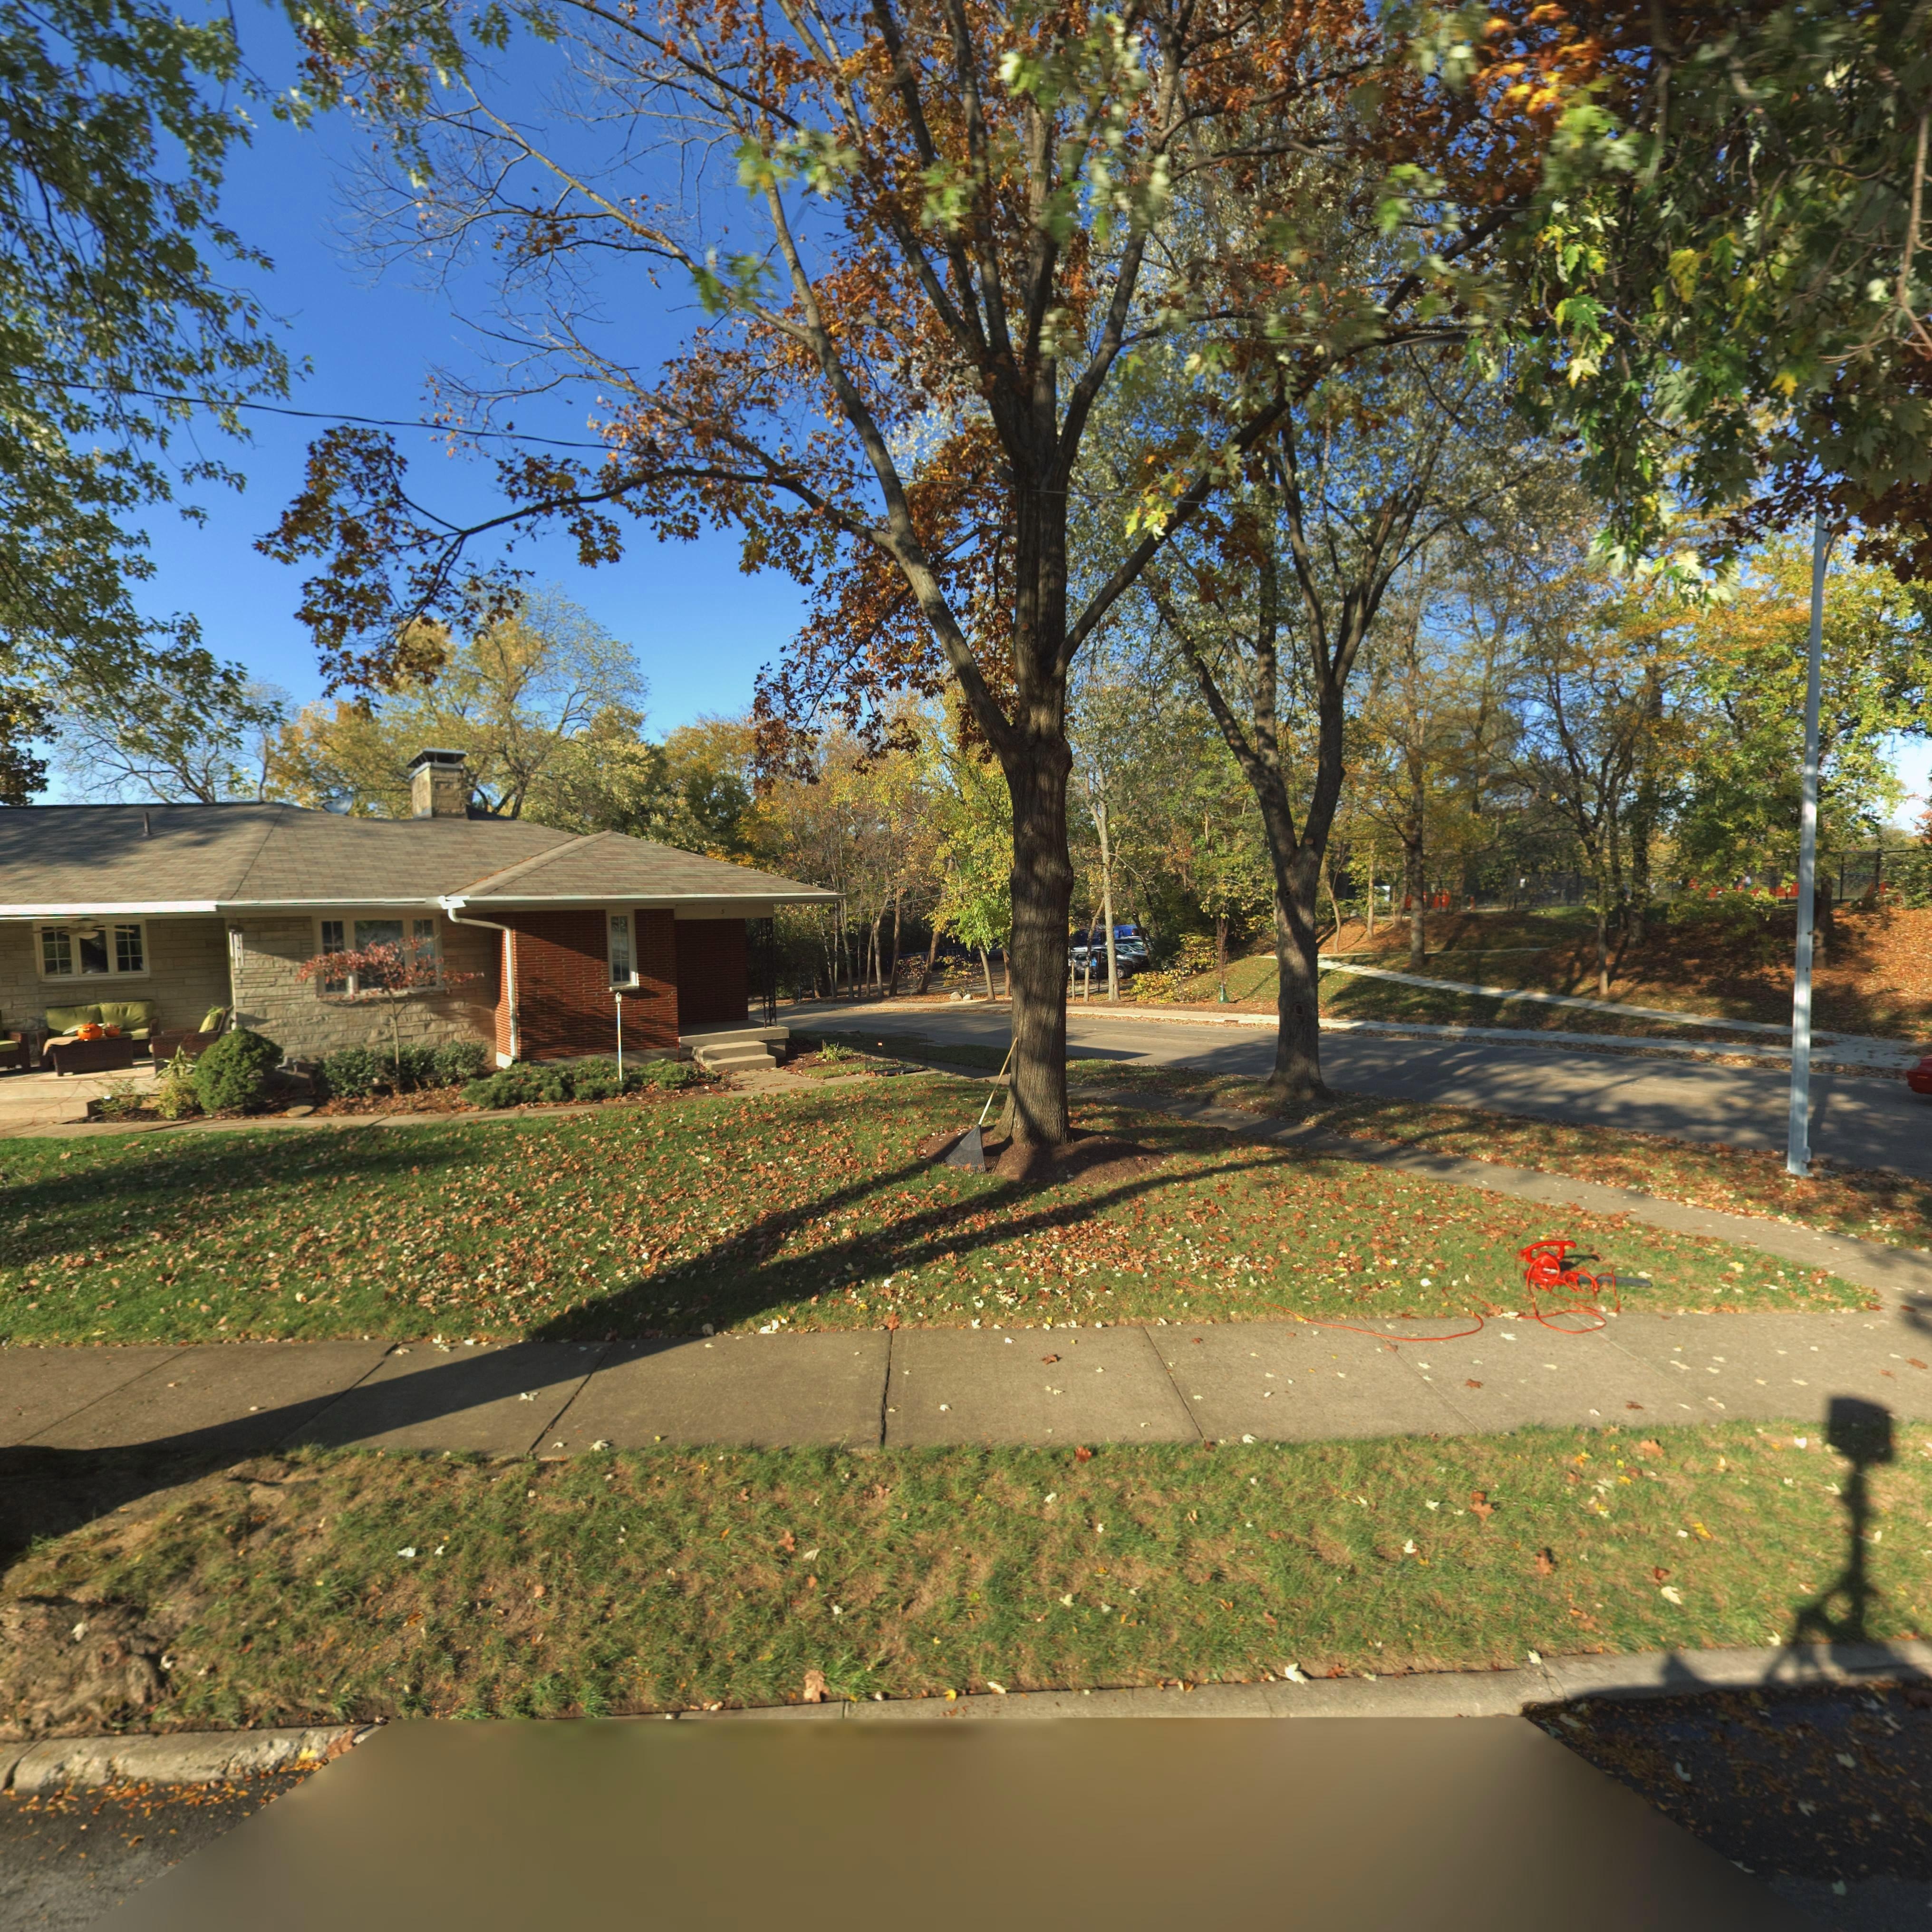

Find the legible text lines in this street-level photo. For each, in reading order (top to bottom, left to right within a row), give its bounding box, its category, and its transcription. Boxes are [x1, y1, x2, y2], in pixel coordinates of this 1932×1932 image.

[720, 908, 725, 914] StreetNumber: 5